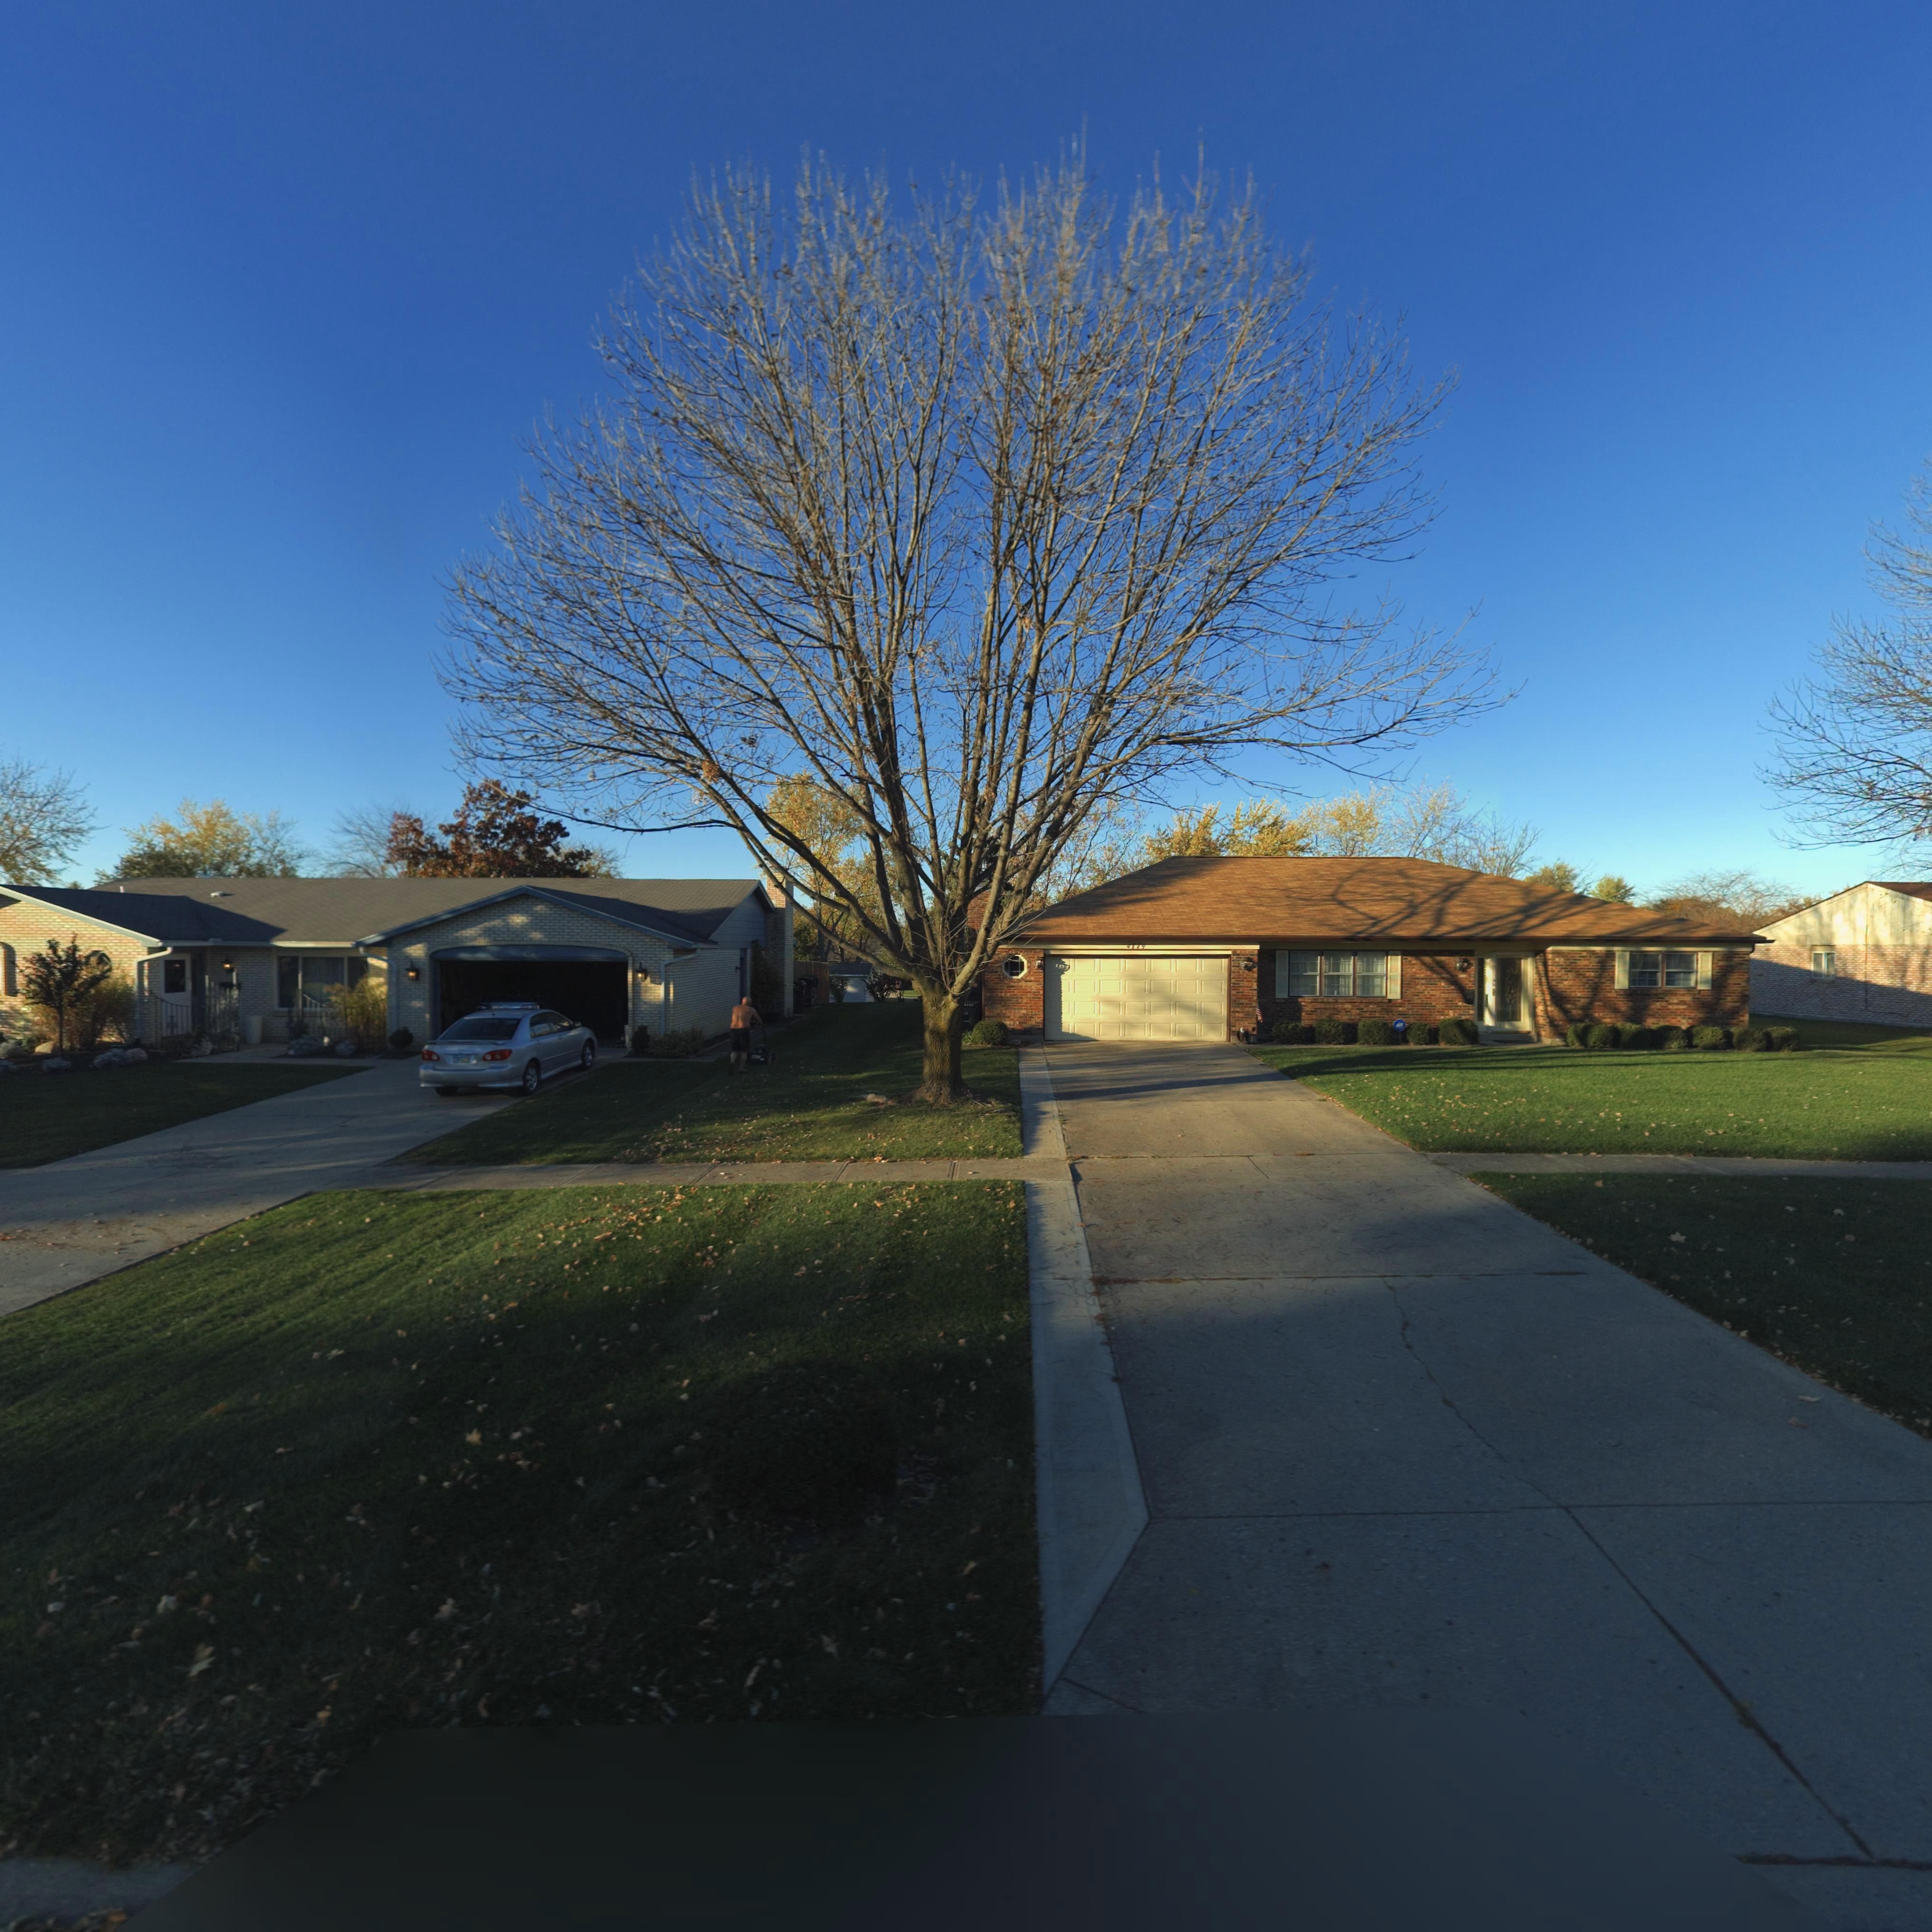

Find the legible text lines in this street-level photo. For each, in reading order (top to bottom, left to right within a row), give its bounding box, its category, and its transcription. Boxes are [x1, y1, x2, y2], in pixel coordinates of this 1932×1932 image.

[1125, 943, 1147, 950] StreetNumber: 4889
[525, 950, 541, 957] StreetNumber: 4895